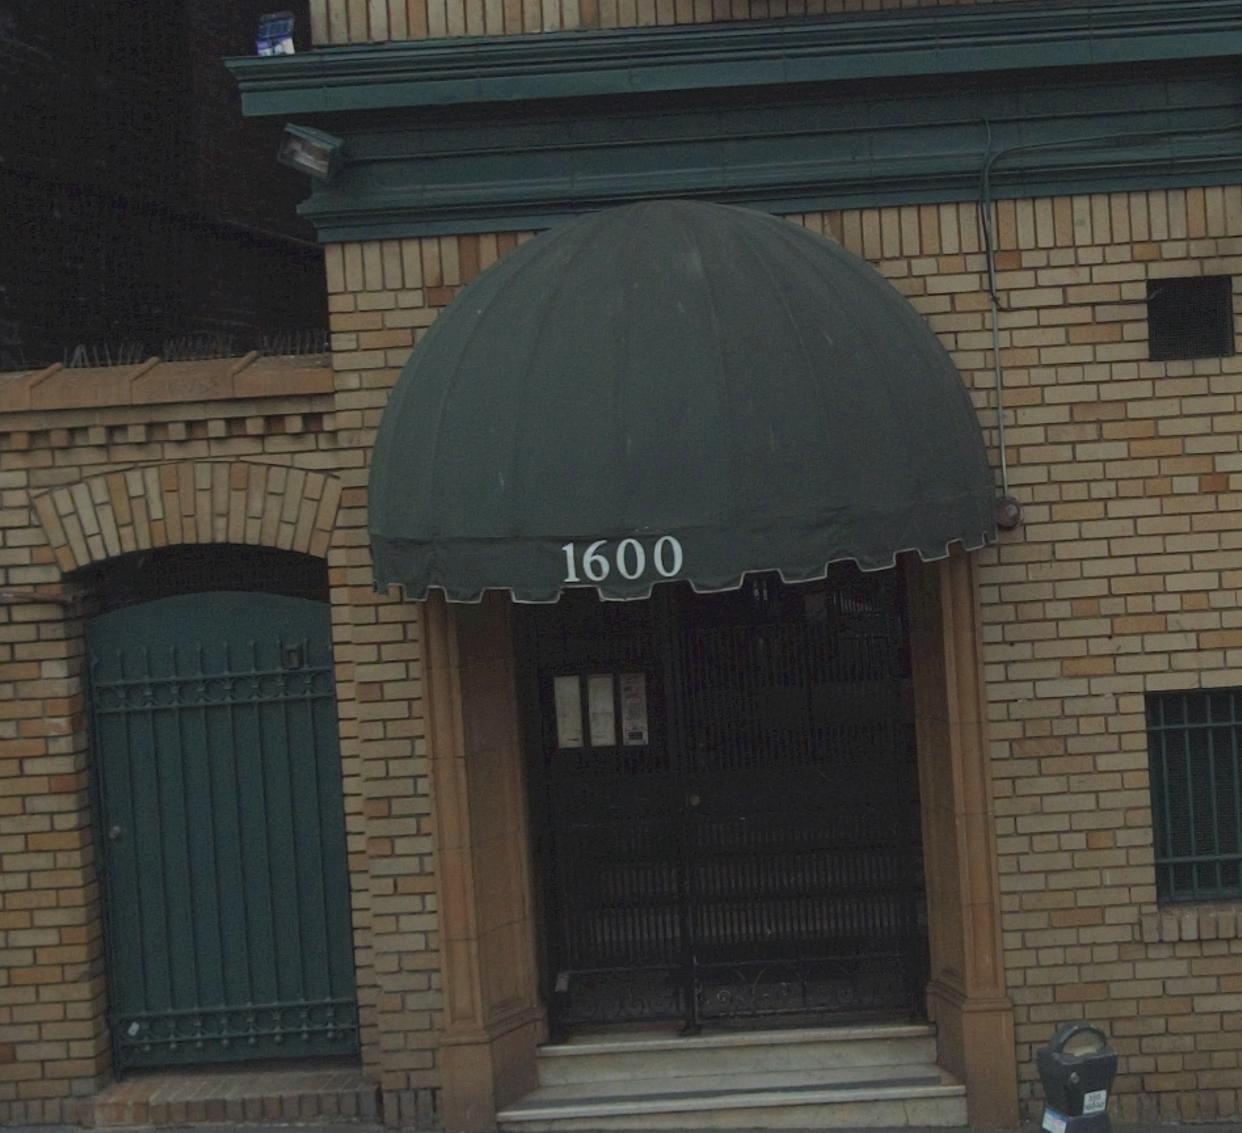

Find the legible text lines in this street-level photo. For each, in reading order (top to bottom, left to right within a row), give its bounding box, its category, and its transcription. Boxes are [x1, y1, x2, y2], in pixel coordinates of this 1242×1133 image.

[559, 533, 685, 584] StreetNumber: 1600